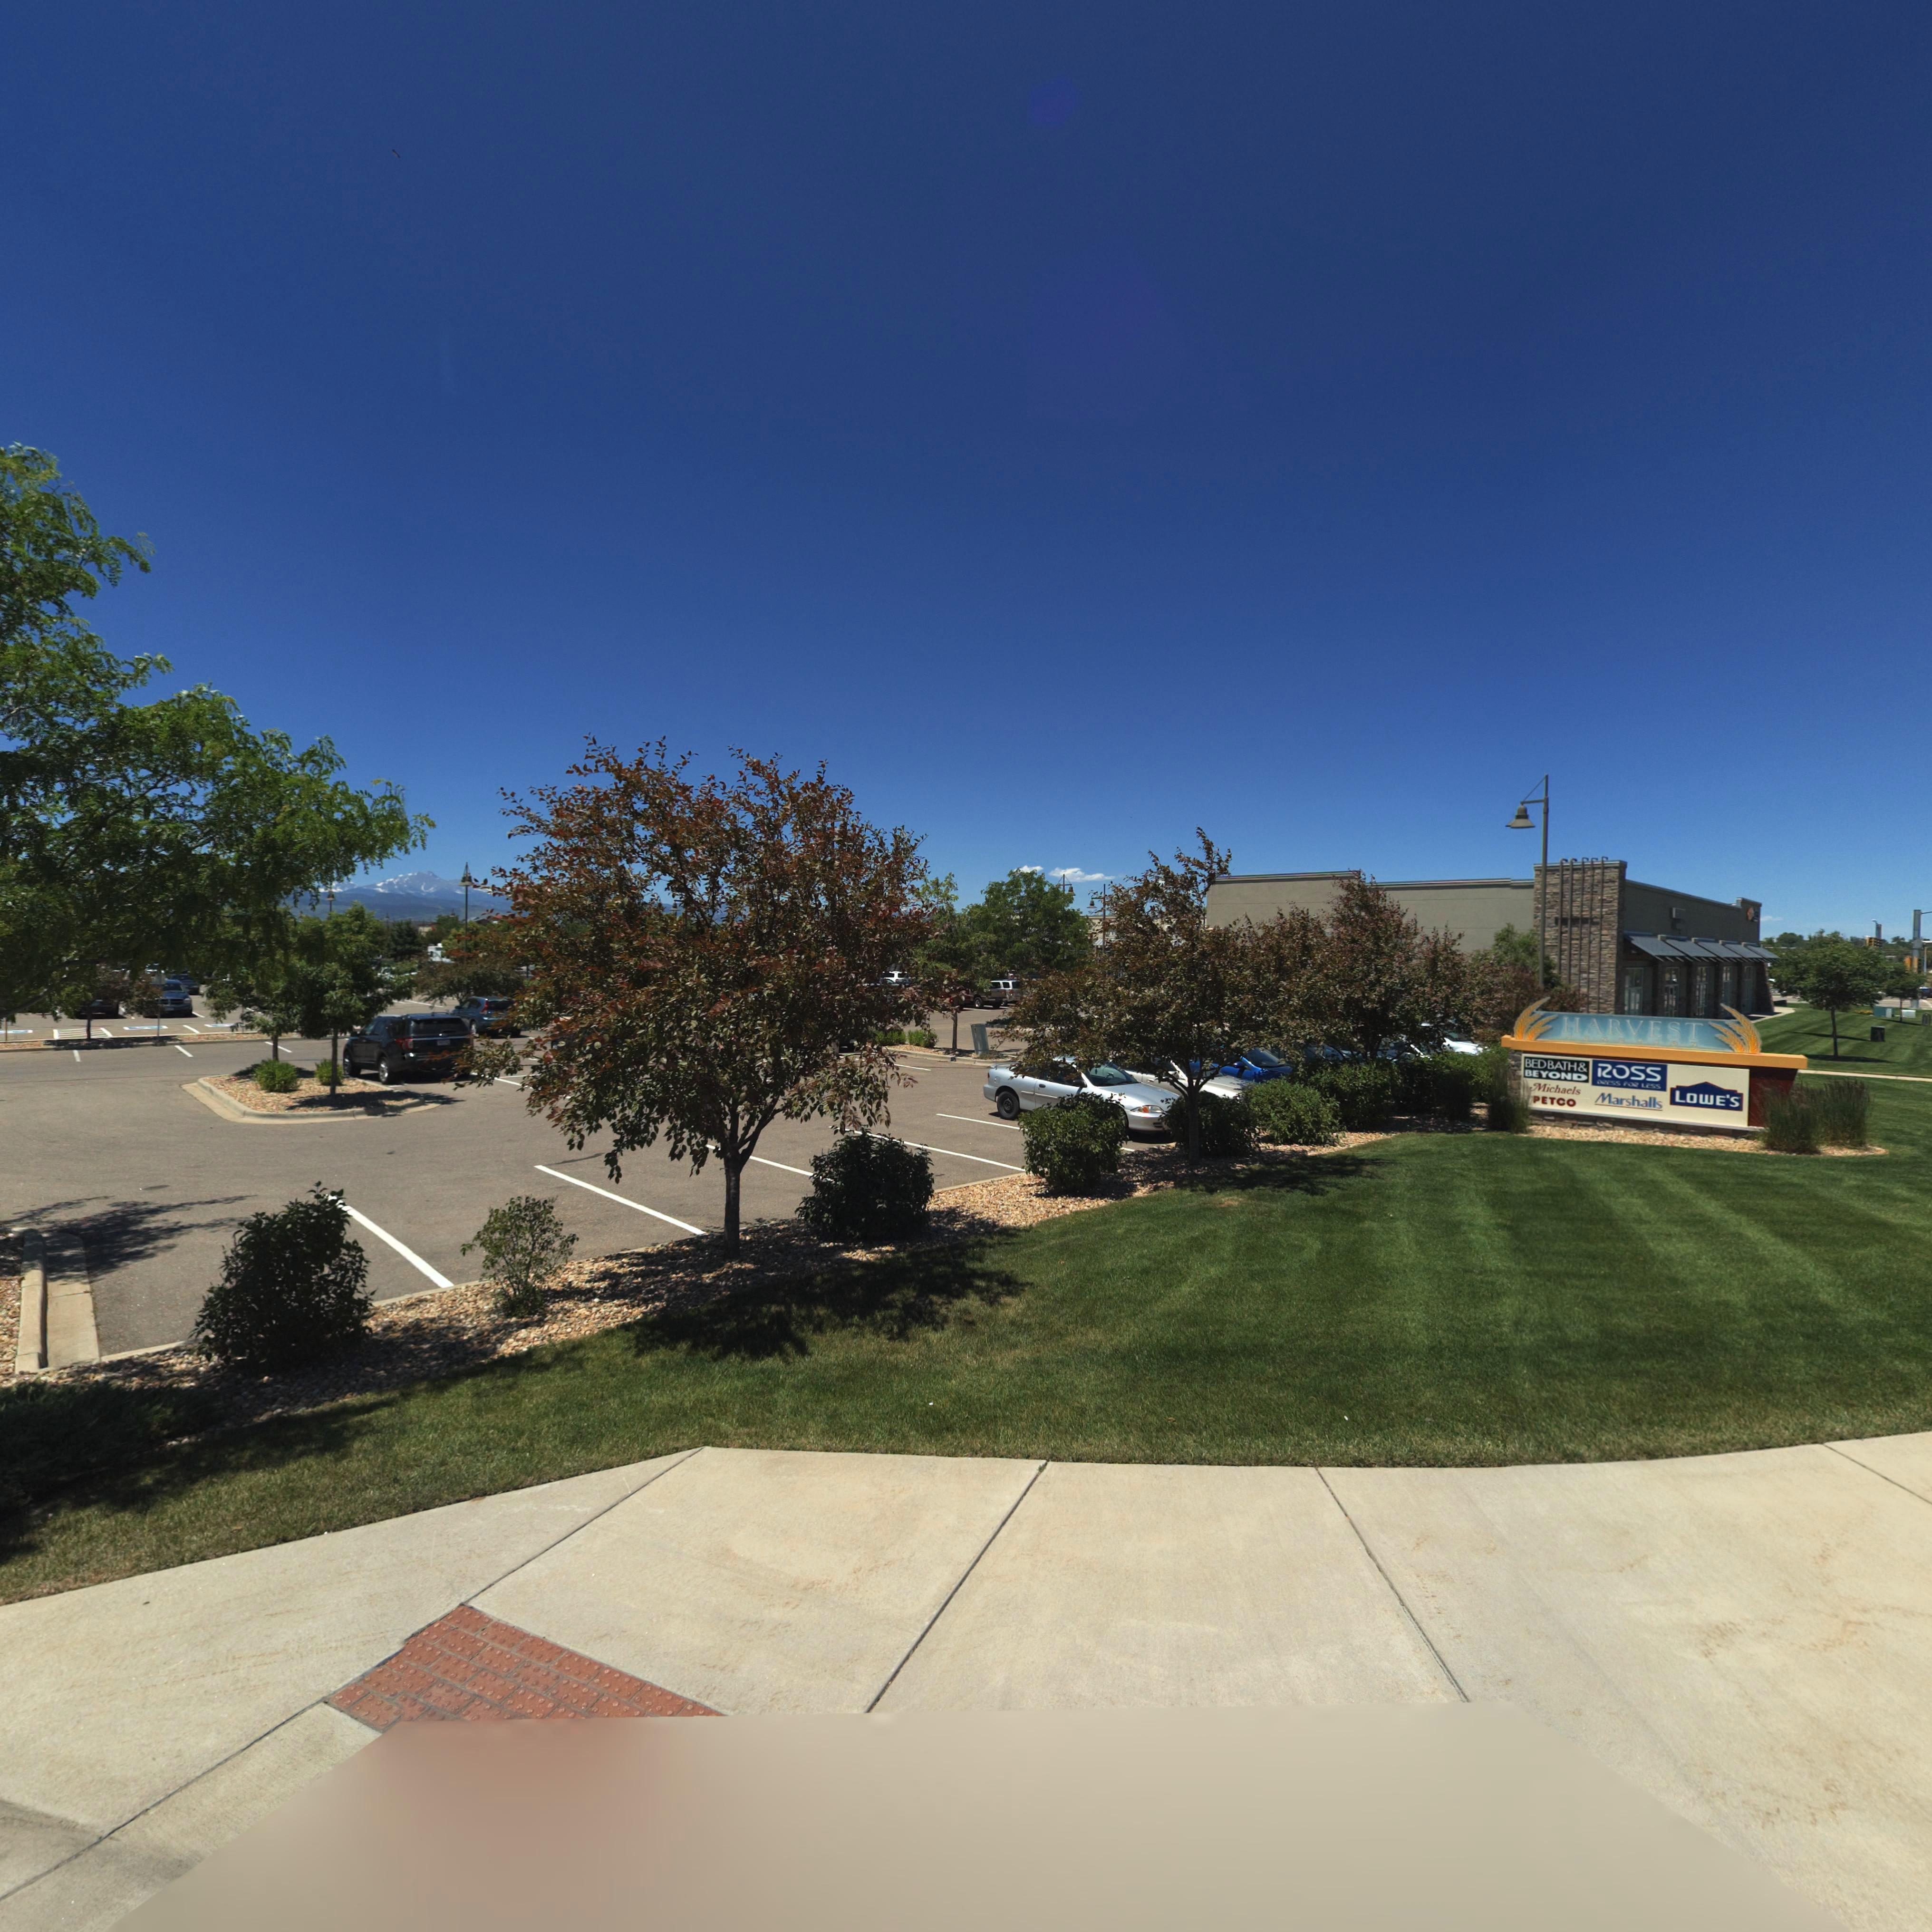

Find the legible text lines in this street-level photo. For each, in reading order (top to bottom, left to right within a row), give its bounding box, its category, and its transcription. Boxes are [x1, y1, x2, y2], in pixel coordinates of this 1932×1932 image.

[1524, 1056, 1588, 1072] BusinessName: BEDBATH&
[1524, 1068, 1589, 1081] BusinessName: BEYOND
[1596, 1062, 1662, 1082] BusinessName: ROSS
[1528, 1082, 1582, 1095] BusinessName: Michaels
[1596, 1079, 1661, 1089] BusinessName: DRESS FOR LESS
[1532, 1094, 1576, 1108] BusinessName: PETCO
[1591, 1091, 1663, 1109] BusinessName: Marshalls
[1674, 1090, 1740, 1108] BusinessName: LOWE'S